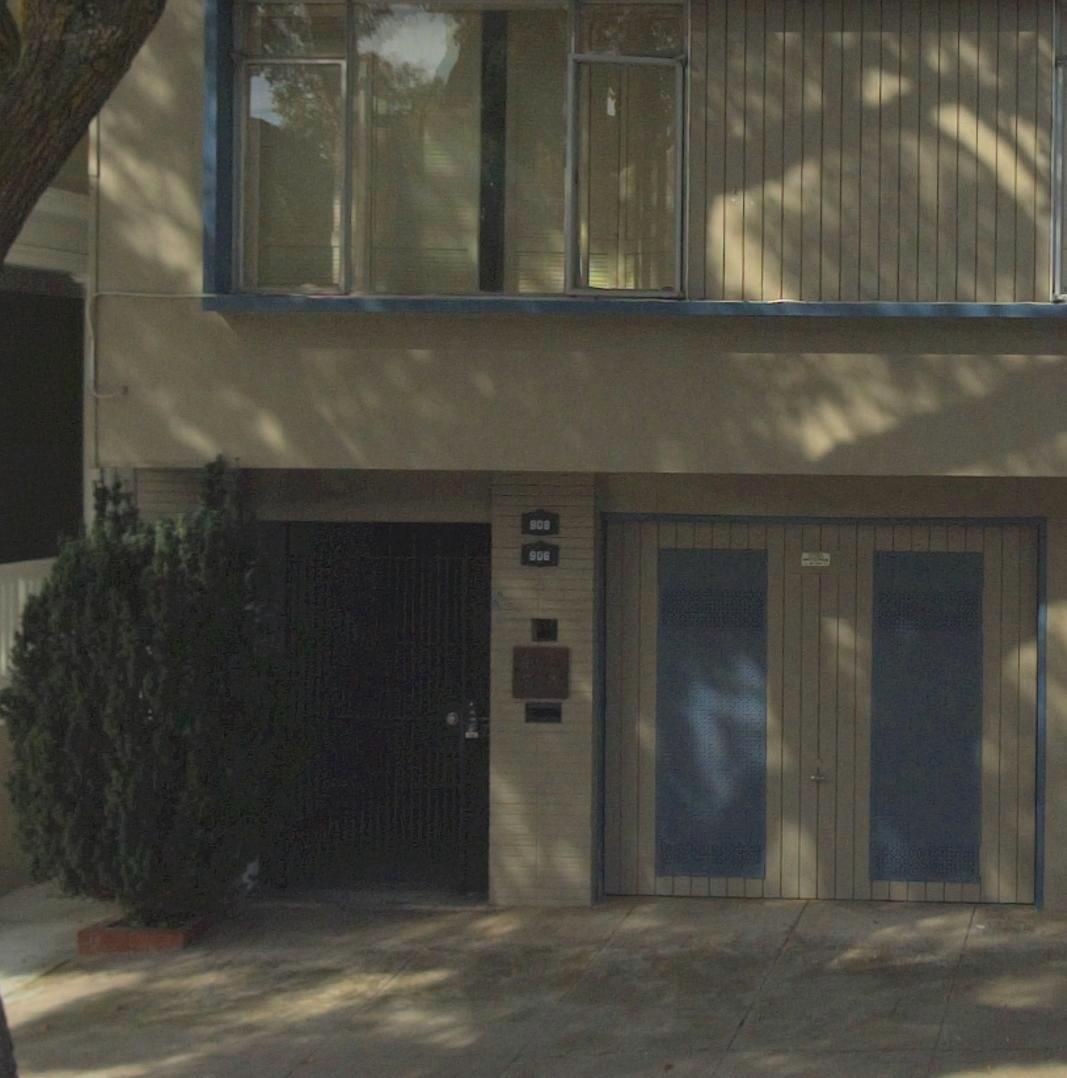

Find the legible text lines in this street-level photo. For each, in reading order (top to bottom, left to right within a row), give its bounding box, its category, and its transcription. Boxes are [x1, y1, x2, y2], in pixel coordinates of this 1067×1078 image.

[529, 519, 552, 531] StreetNumber: 908
[527, 549, 550, 562] StreetNumber: 906